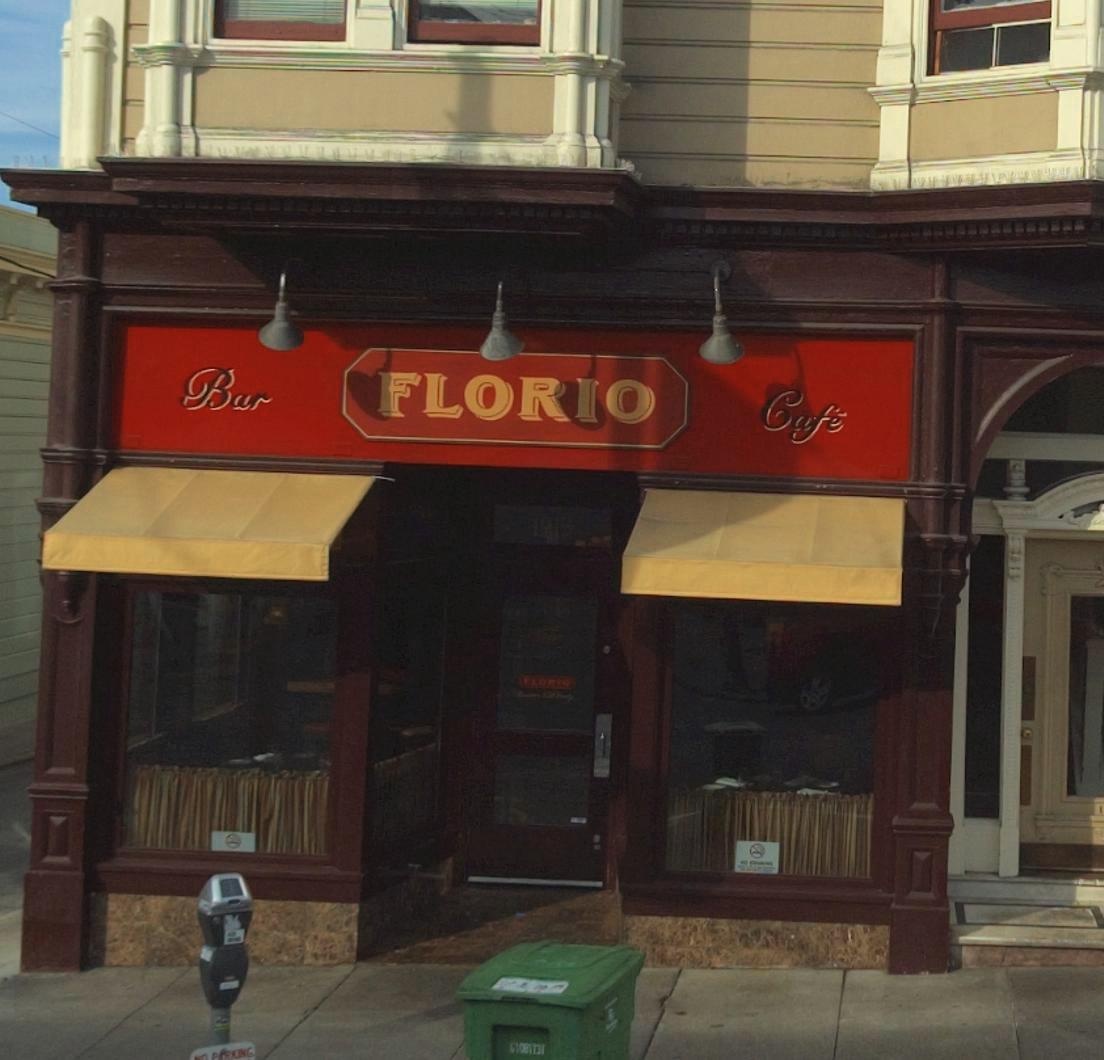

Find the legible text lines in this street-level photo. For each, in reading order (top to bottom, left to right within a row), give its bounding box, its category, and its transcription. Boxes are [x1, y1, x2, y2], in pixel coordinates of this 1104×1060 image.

[174, 359, 277, 416] None: Bar
[372, 367, 659, 428] BusinessName: FLORIO
[757, 386, 851, 448] None: Cafe
[529, 514, 575, 540] StreetNumber: 1*15
[522, 675, 572, 689] BusinessName: FLORIO